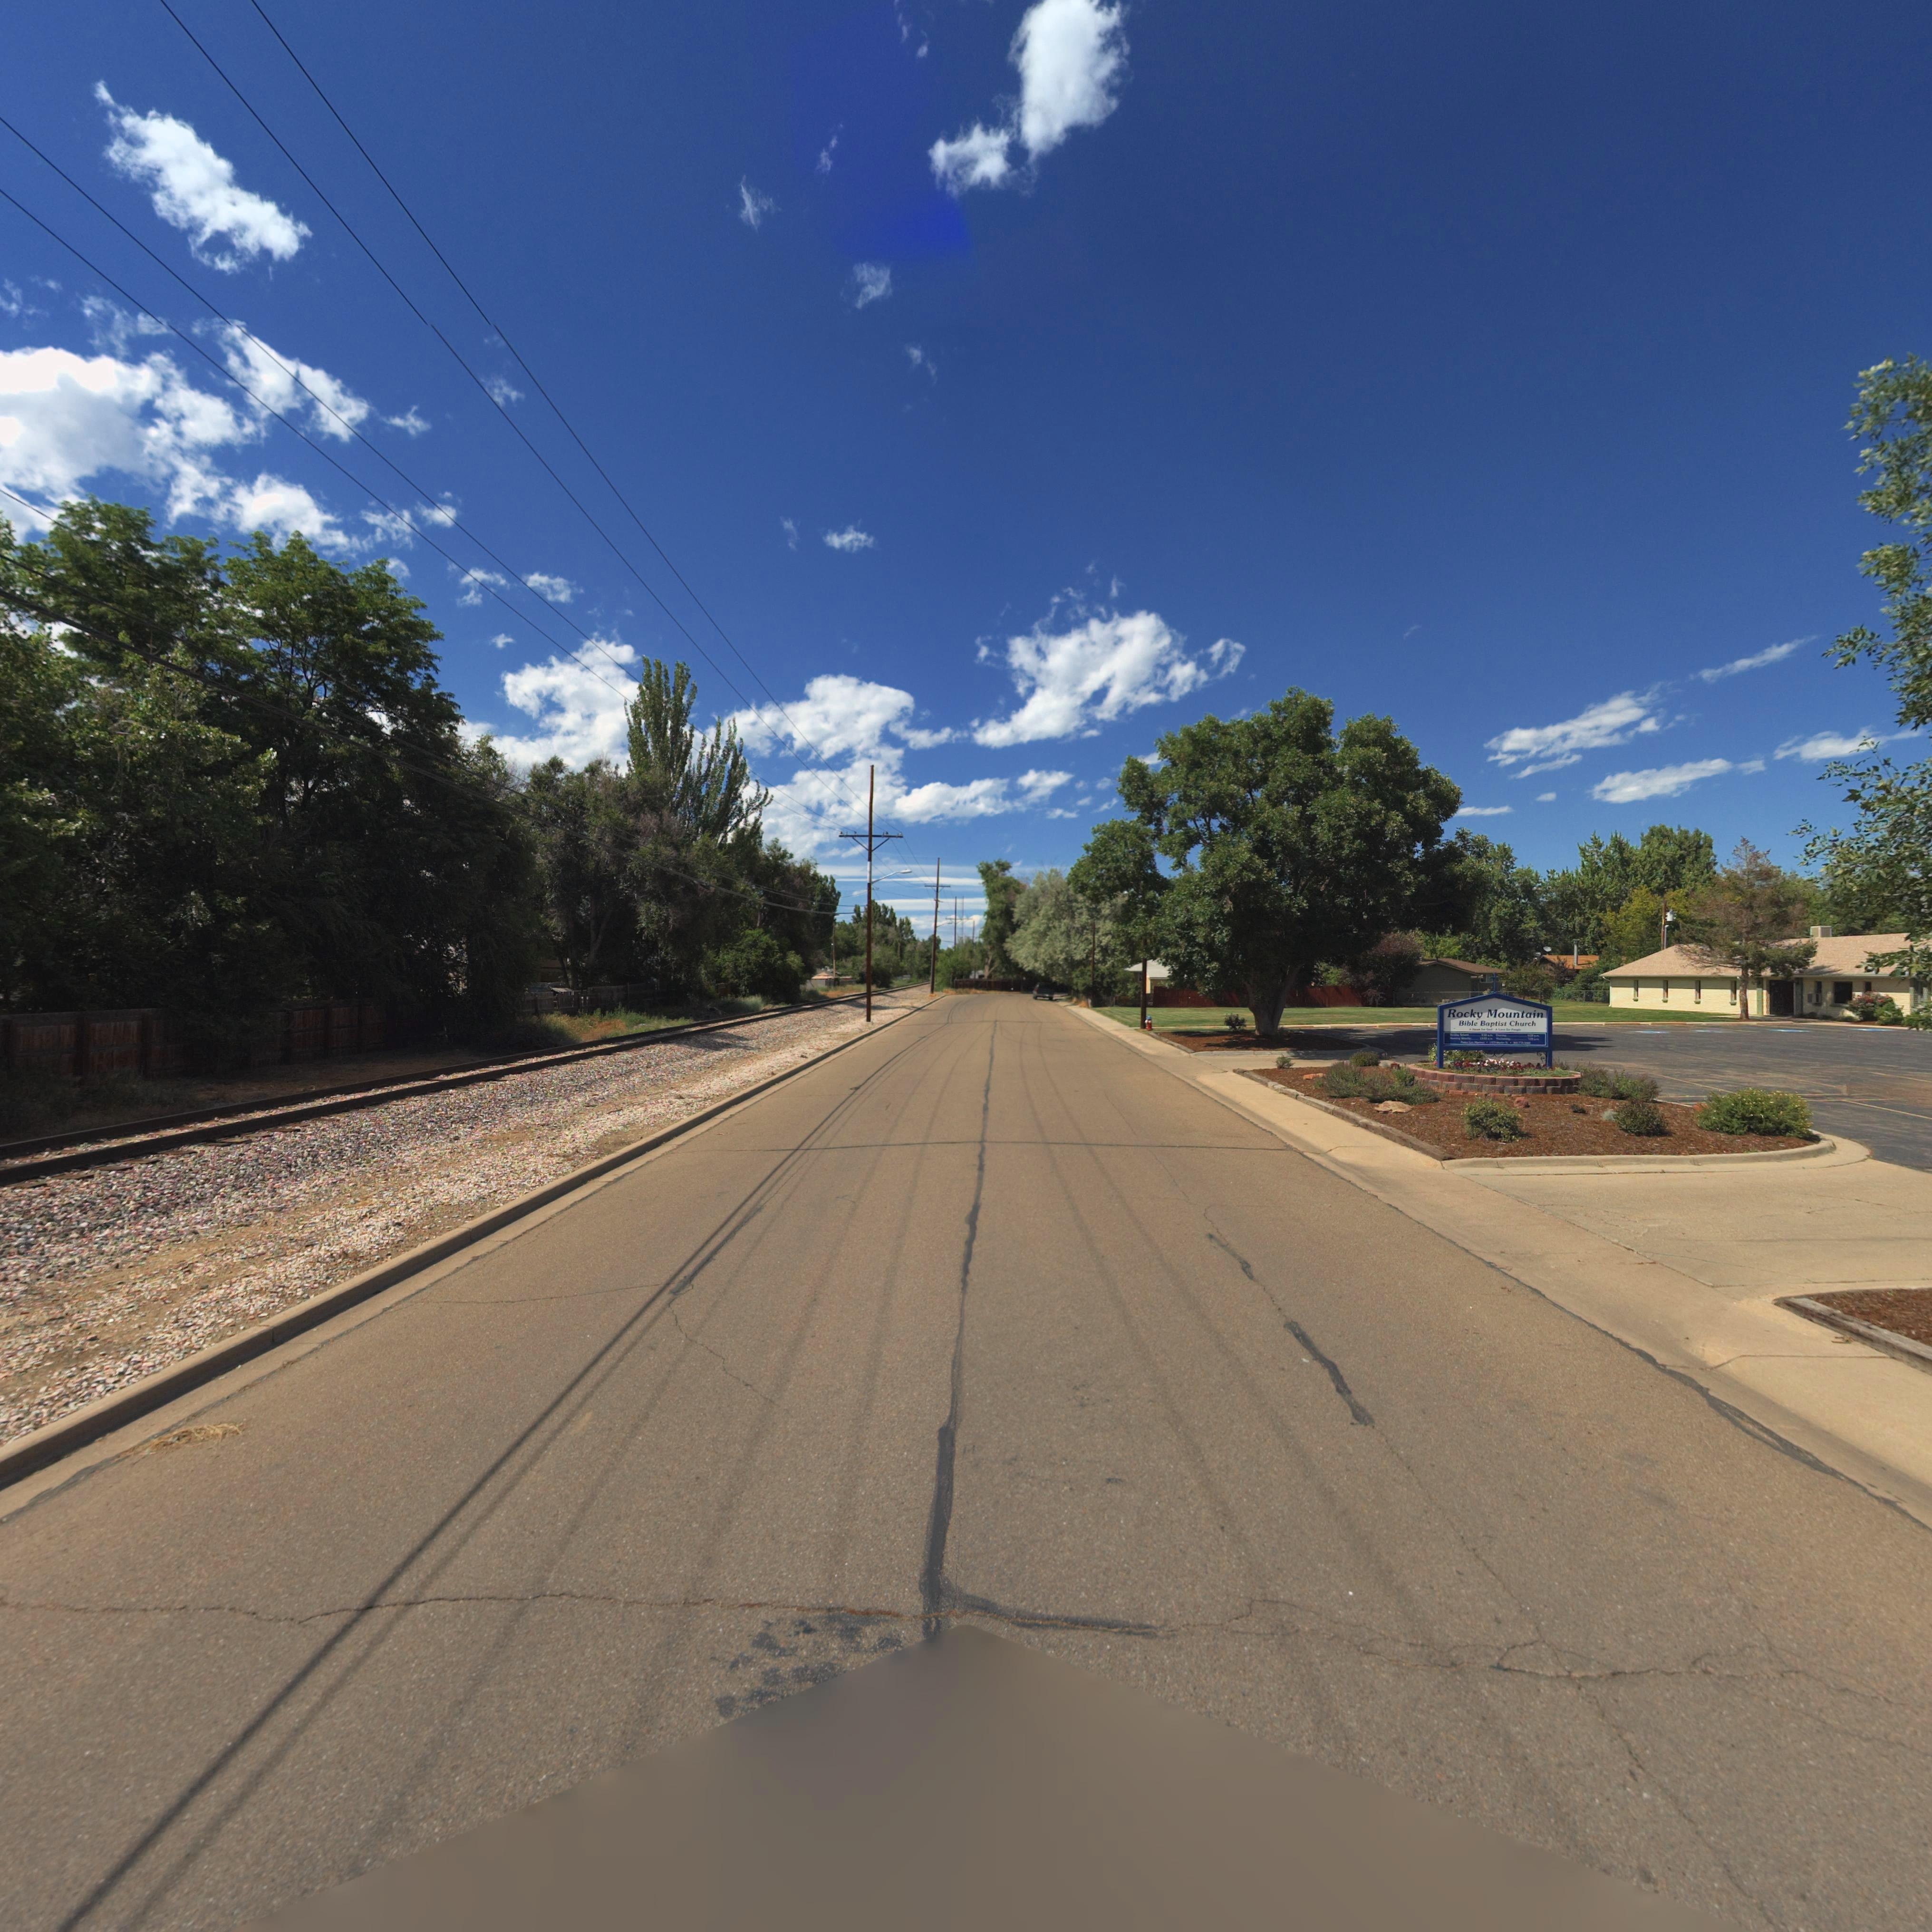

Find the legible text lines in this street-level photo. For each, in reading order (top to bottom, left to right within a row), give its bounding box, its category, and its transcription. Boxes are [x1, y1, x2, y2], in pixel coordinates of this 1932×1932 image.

[1447, 1008, 1544, 1020] BusinessName: Rocky Mountain
[1459, 1020, 1536, 1028] BusinessName: Bible Baptist Church